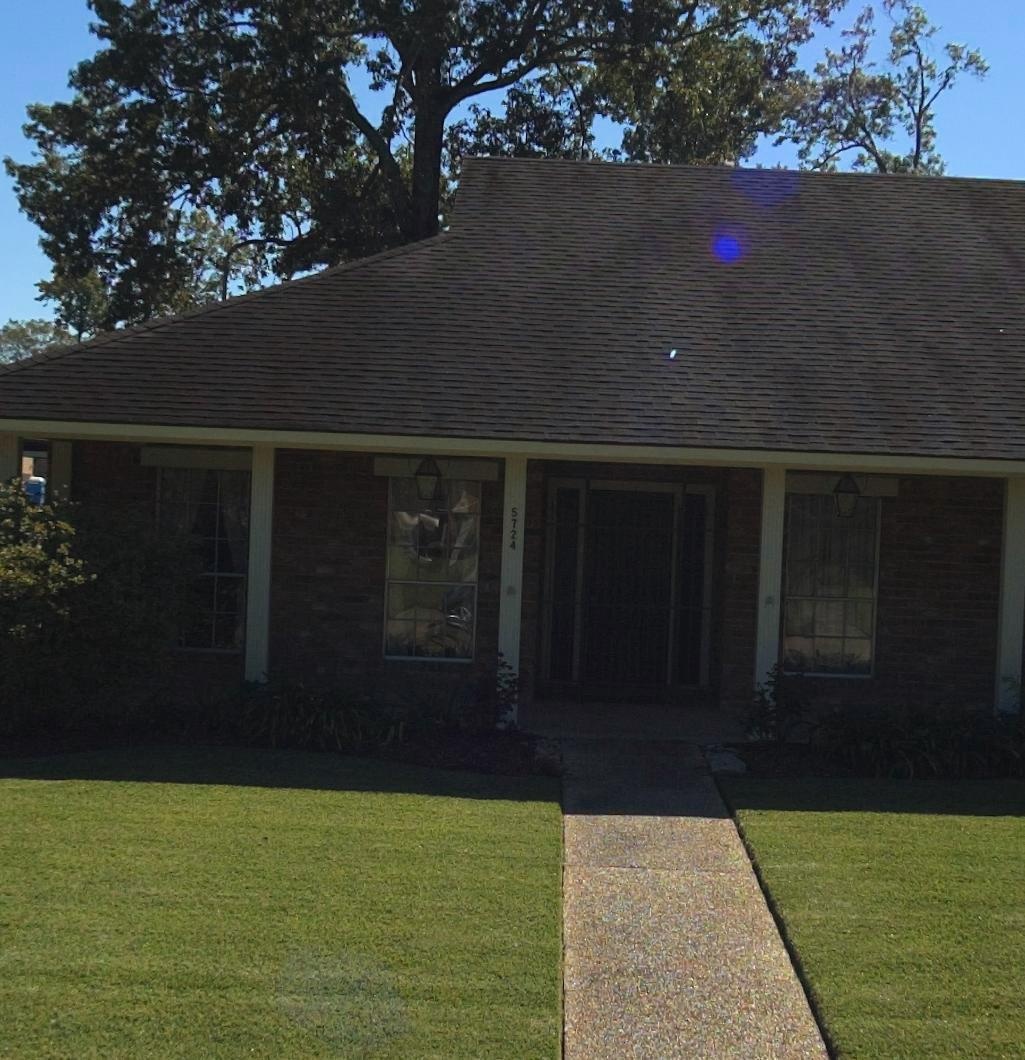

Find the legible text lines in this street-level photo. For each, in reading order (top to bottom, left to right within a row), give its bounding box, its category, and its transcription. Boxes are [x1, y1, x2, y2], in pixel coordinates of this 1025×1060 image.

[507, 504, 520, 552] StreetNumber: 5724